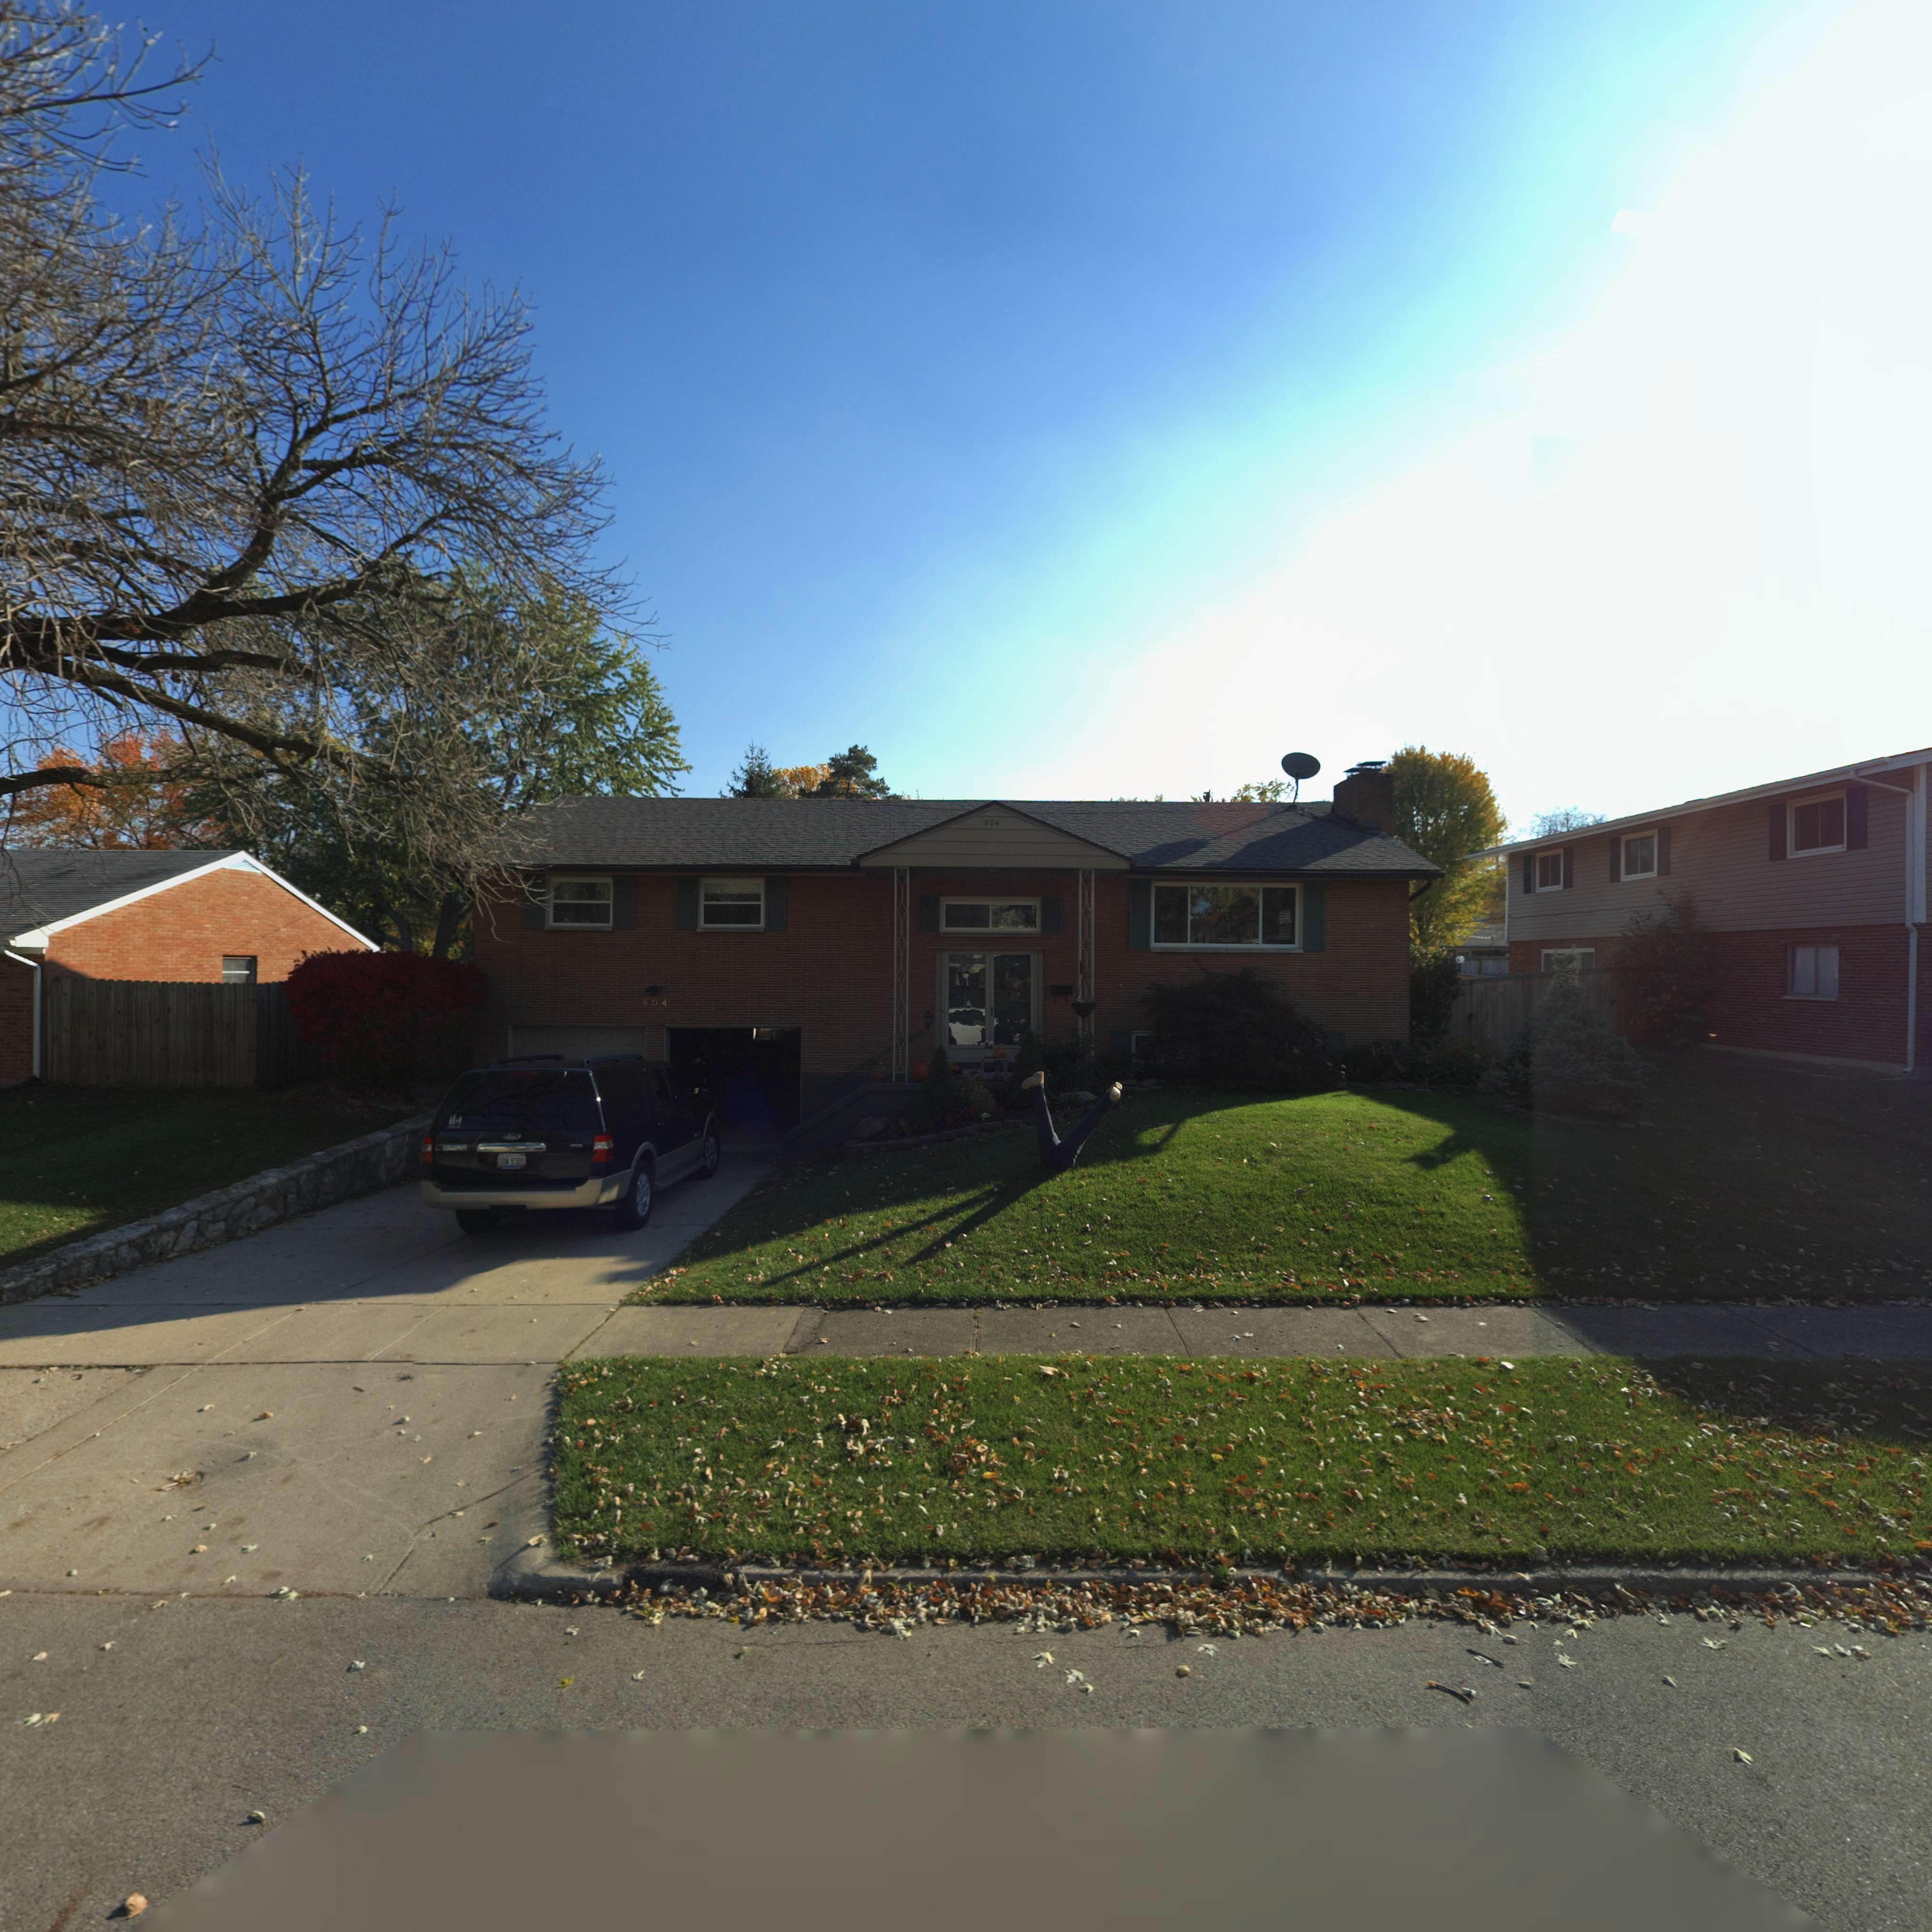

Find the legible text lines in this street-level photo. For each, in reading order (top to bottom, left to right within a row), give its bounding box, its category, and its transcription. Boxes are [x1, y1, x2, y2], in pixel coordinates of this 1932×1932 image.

[984, 819, 999, 826] StreetNumber: 804
[642, 998, 667, 1007] StreetNumber: 804